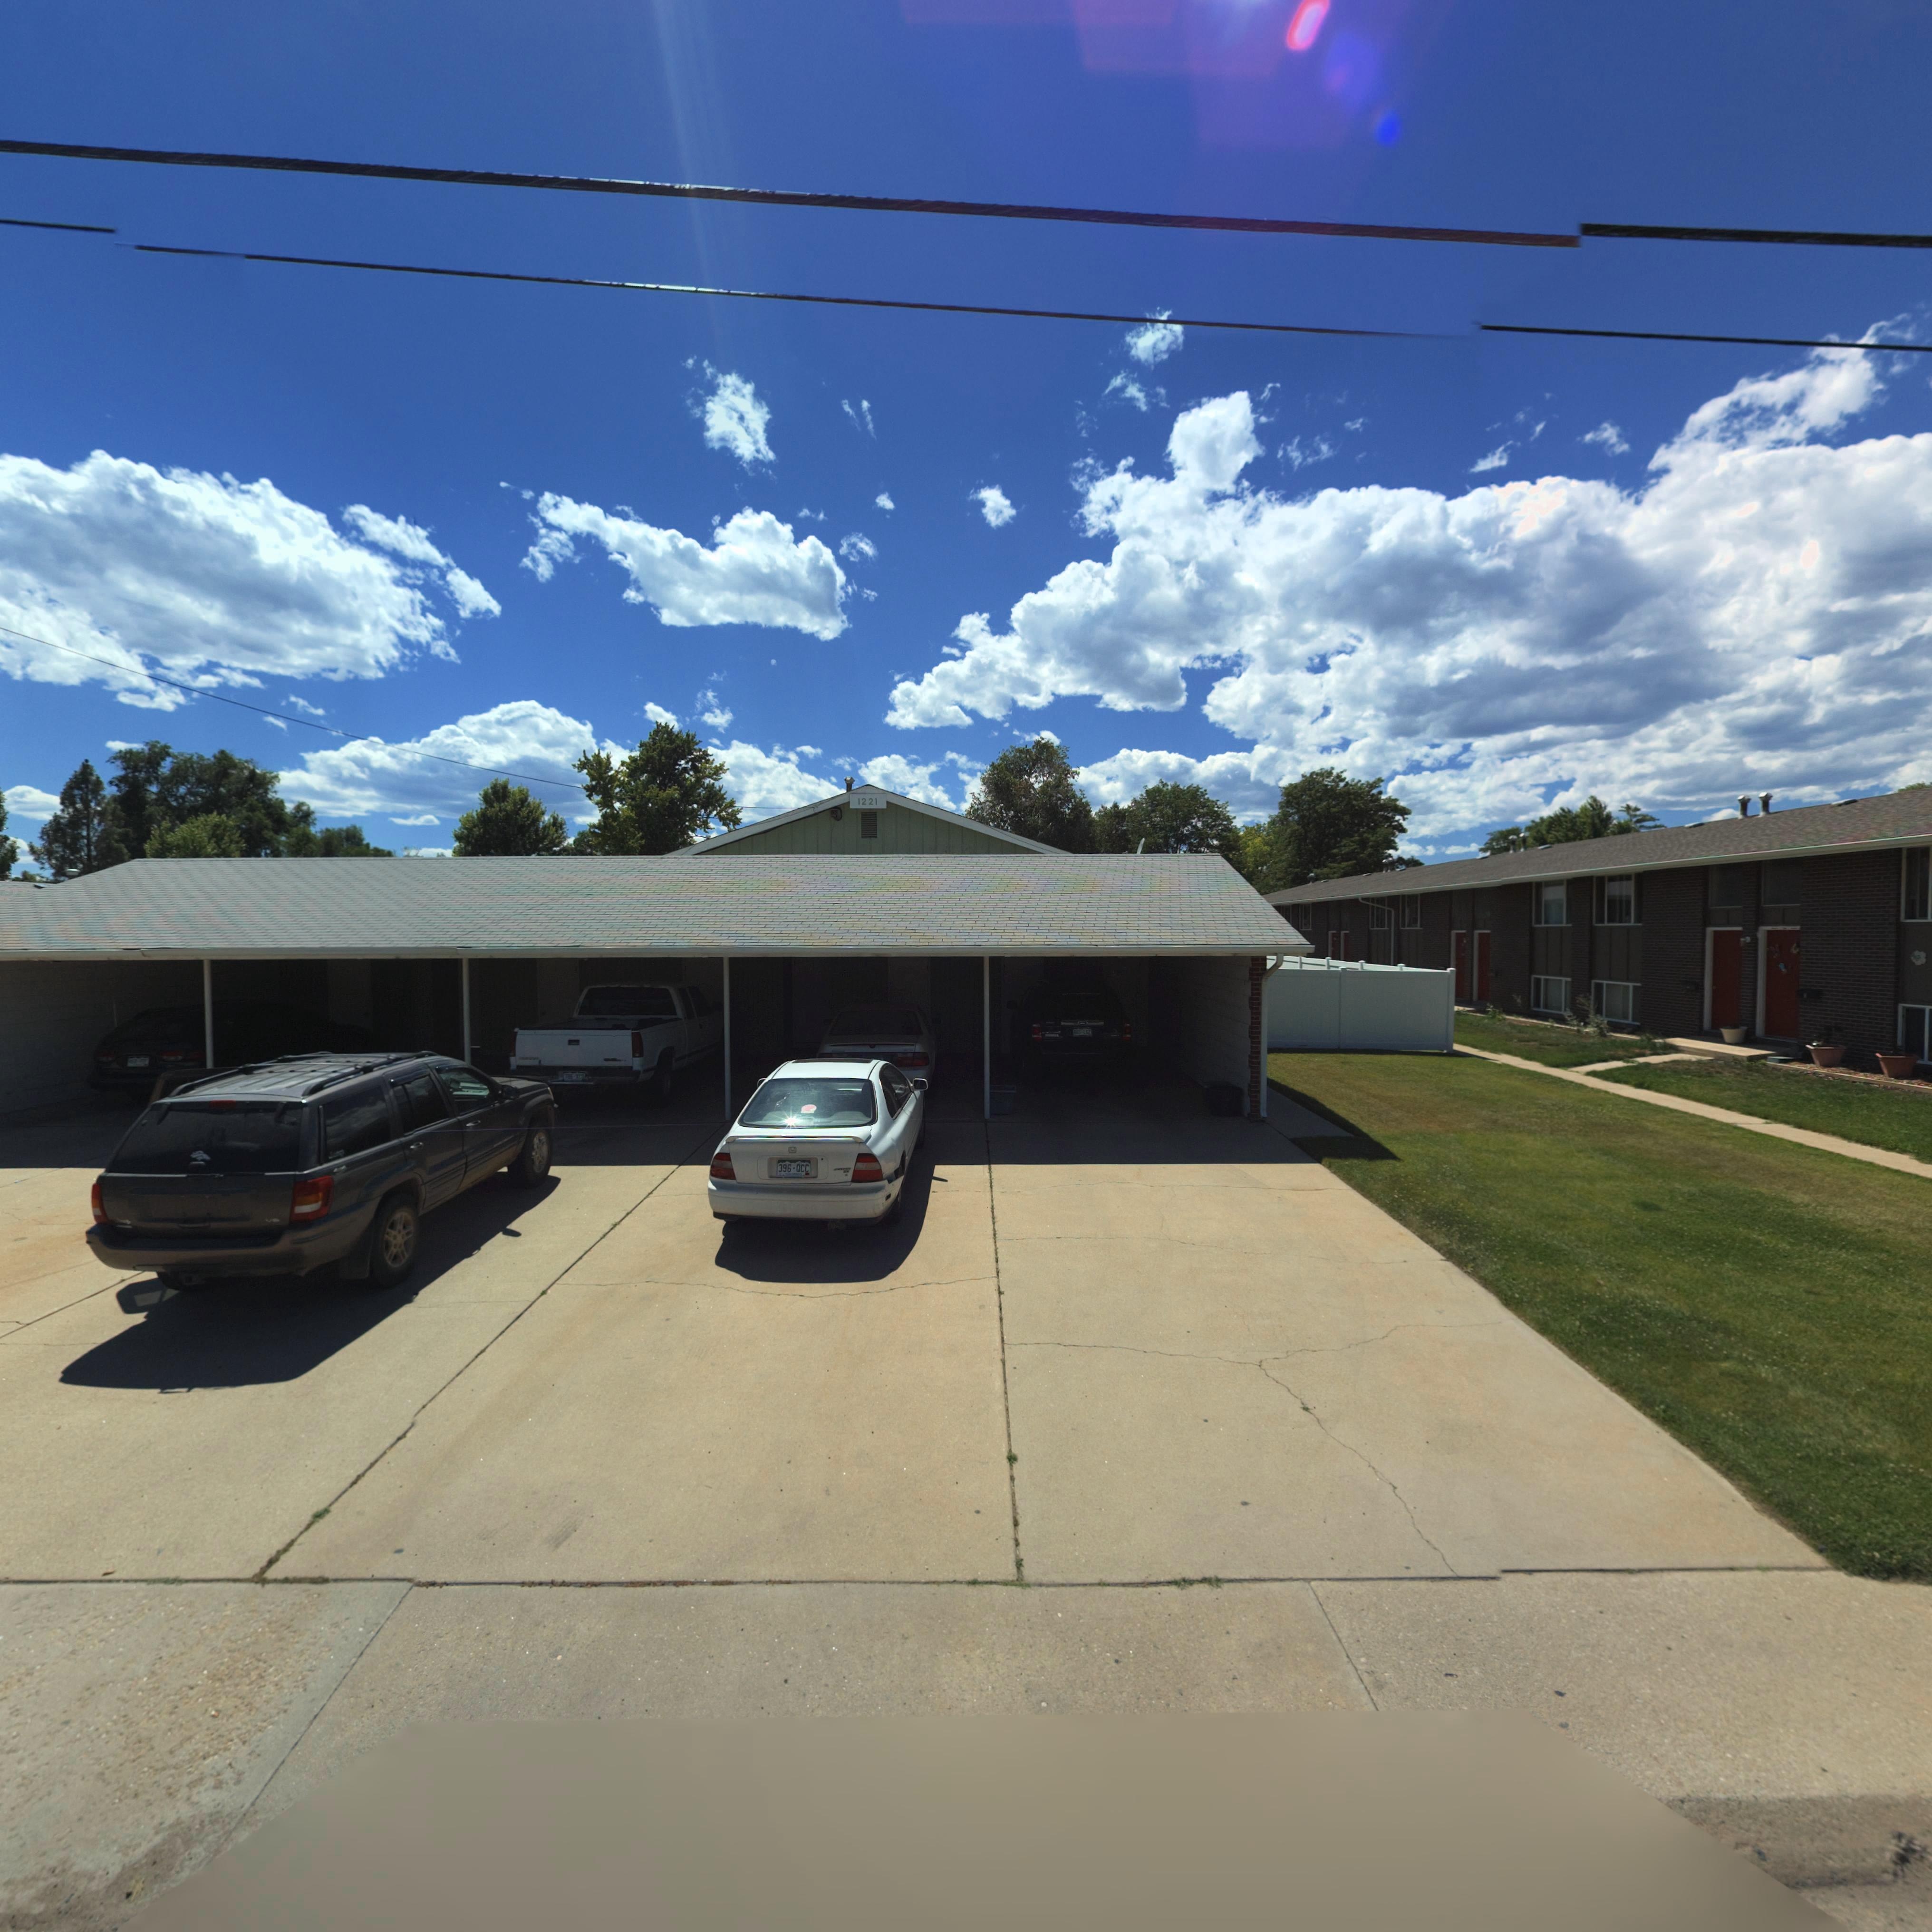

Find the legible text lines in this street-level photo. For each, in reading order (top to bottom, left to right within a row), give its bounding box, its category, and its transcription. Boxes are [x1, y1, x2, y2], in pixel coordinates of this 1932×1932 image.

[858, 797, 877, 805] StreetNumber: 1221